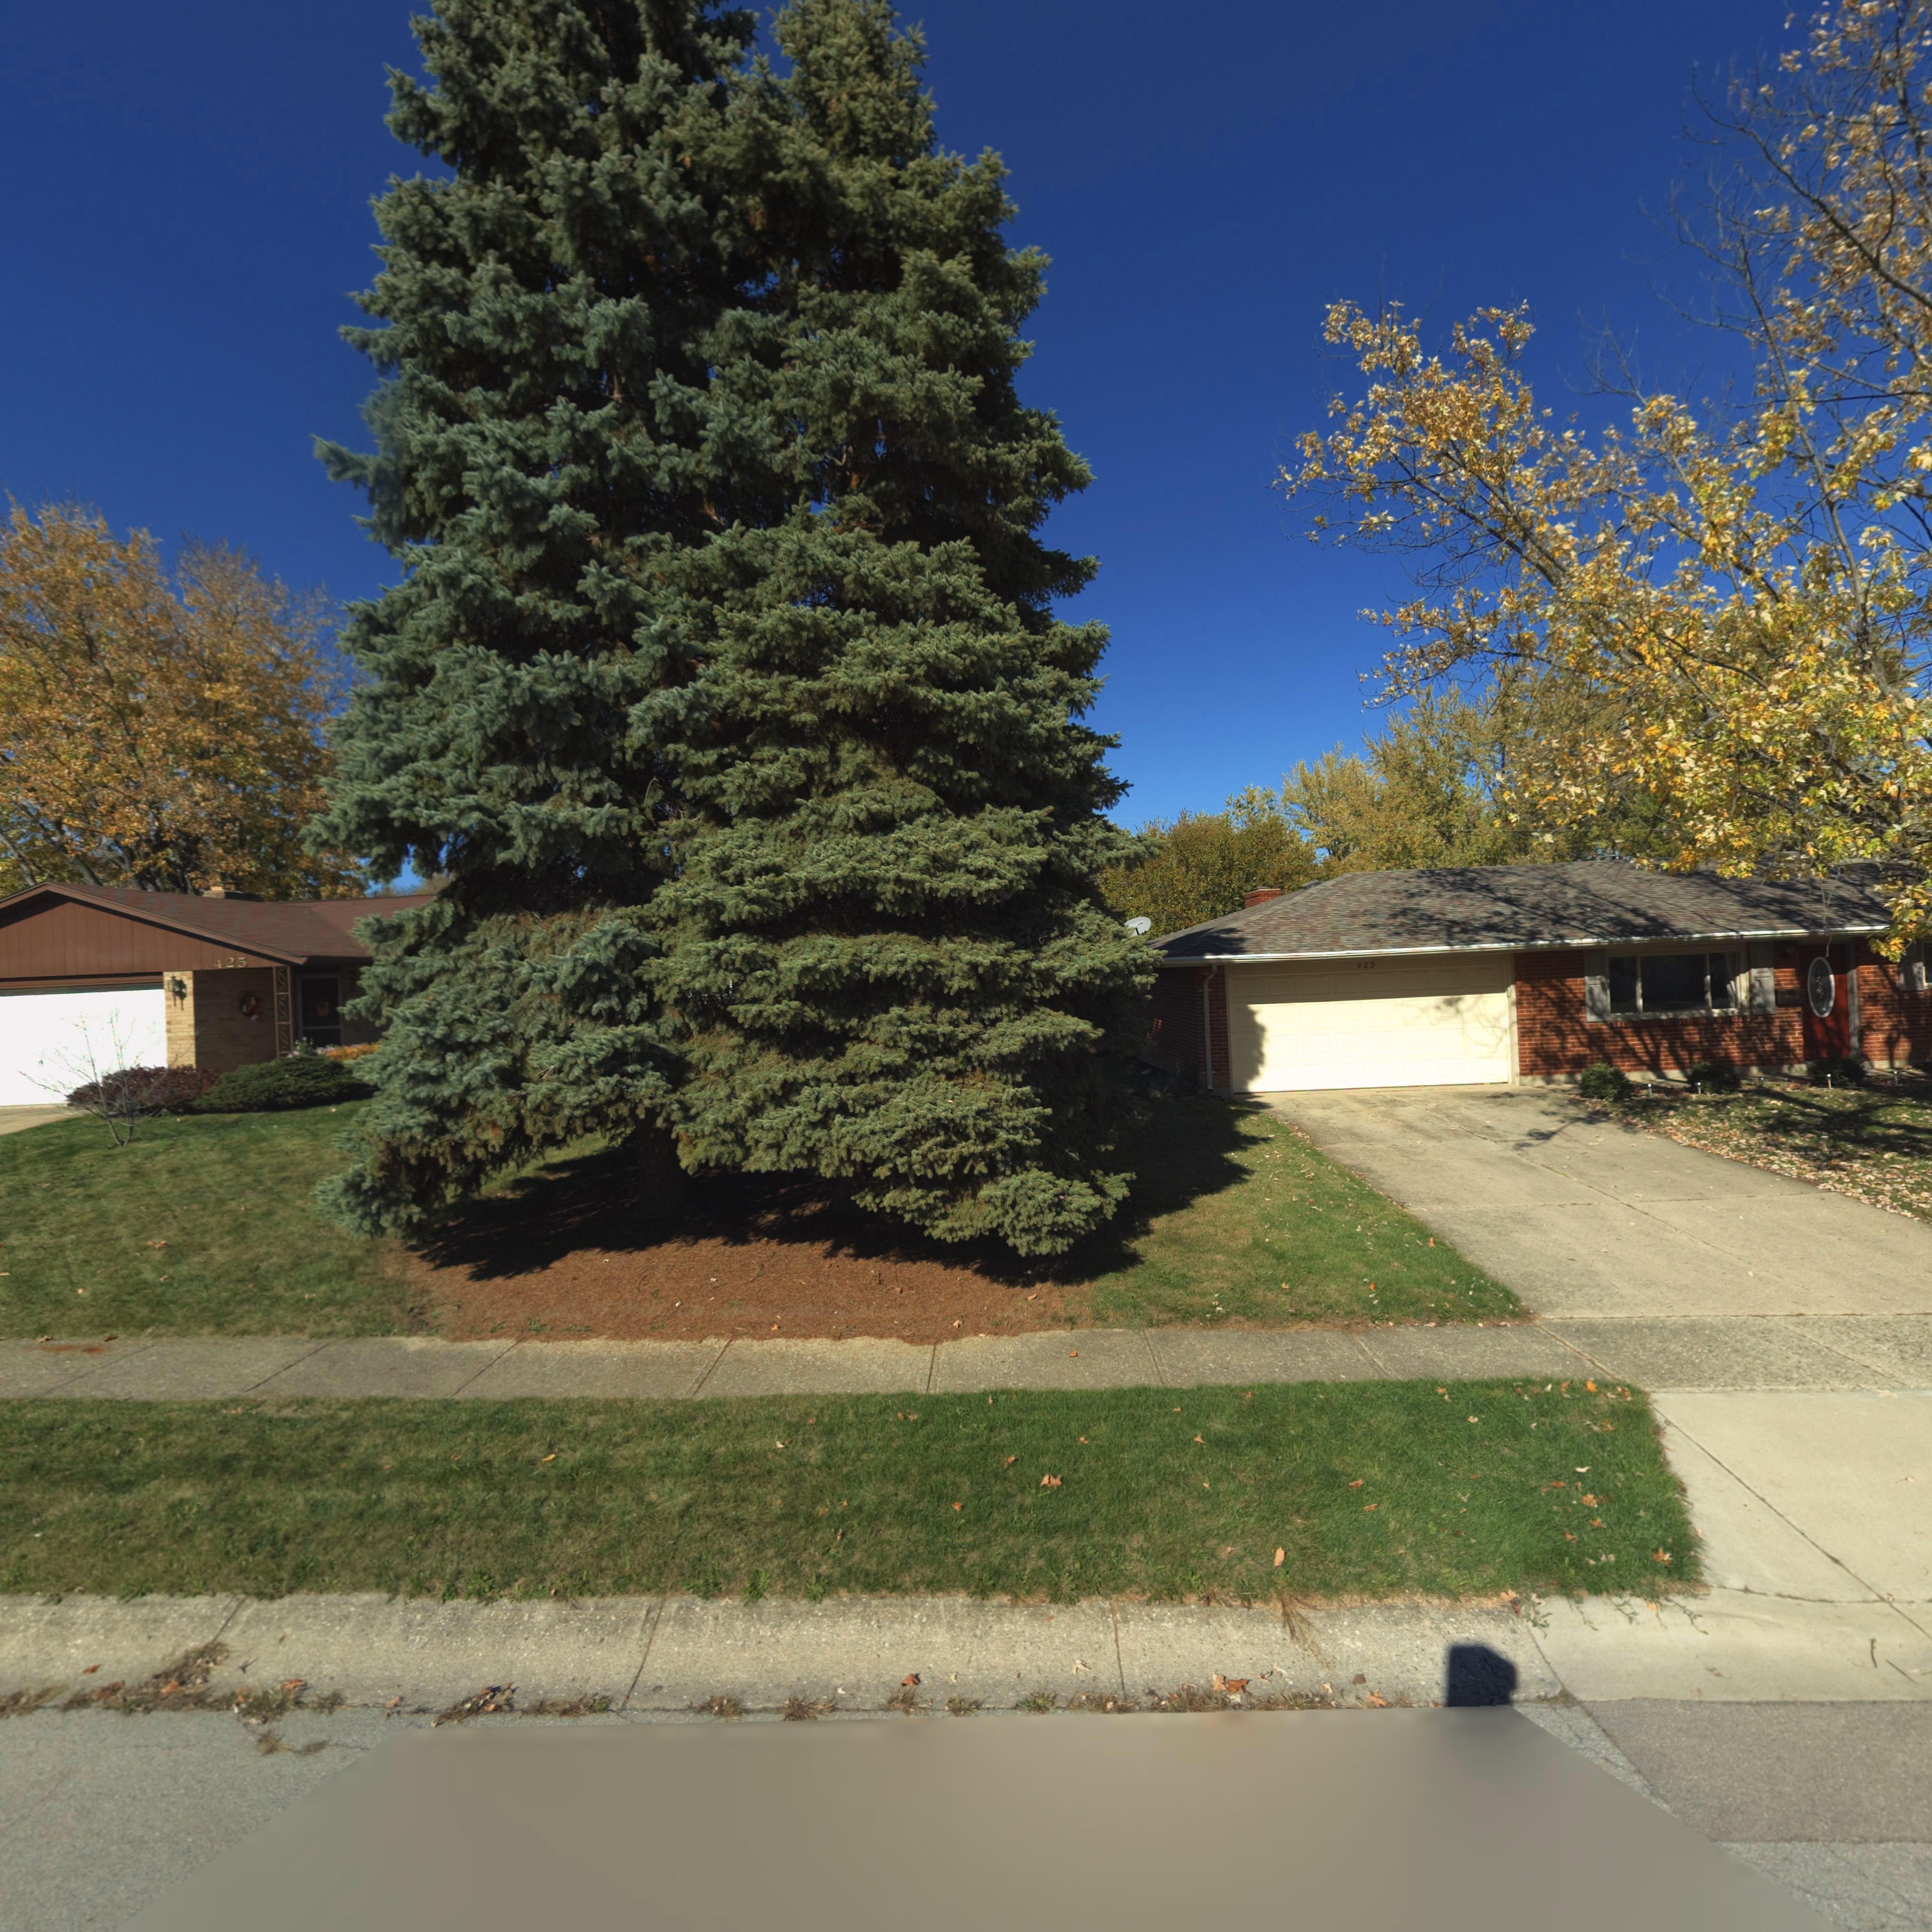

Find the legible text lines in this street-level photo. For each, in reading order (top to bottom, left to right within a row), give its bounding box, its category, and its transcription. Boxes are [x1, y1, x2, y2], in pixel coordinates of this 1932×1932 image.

[213, 956, 249, 969] StreetNumber: 425
[1355, 960, 1376, 970] StreetNumber: 423